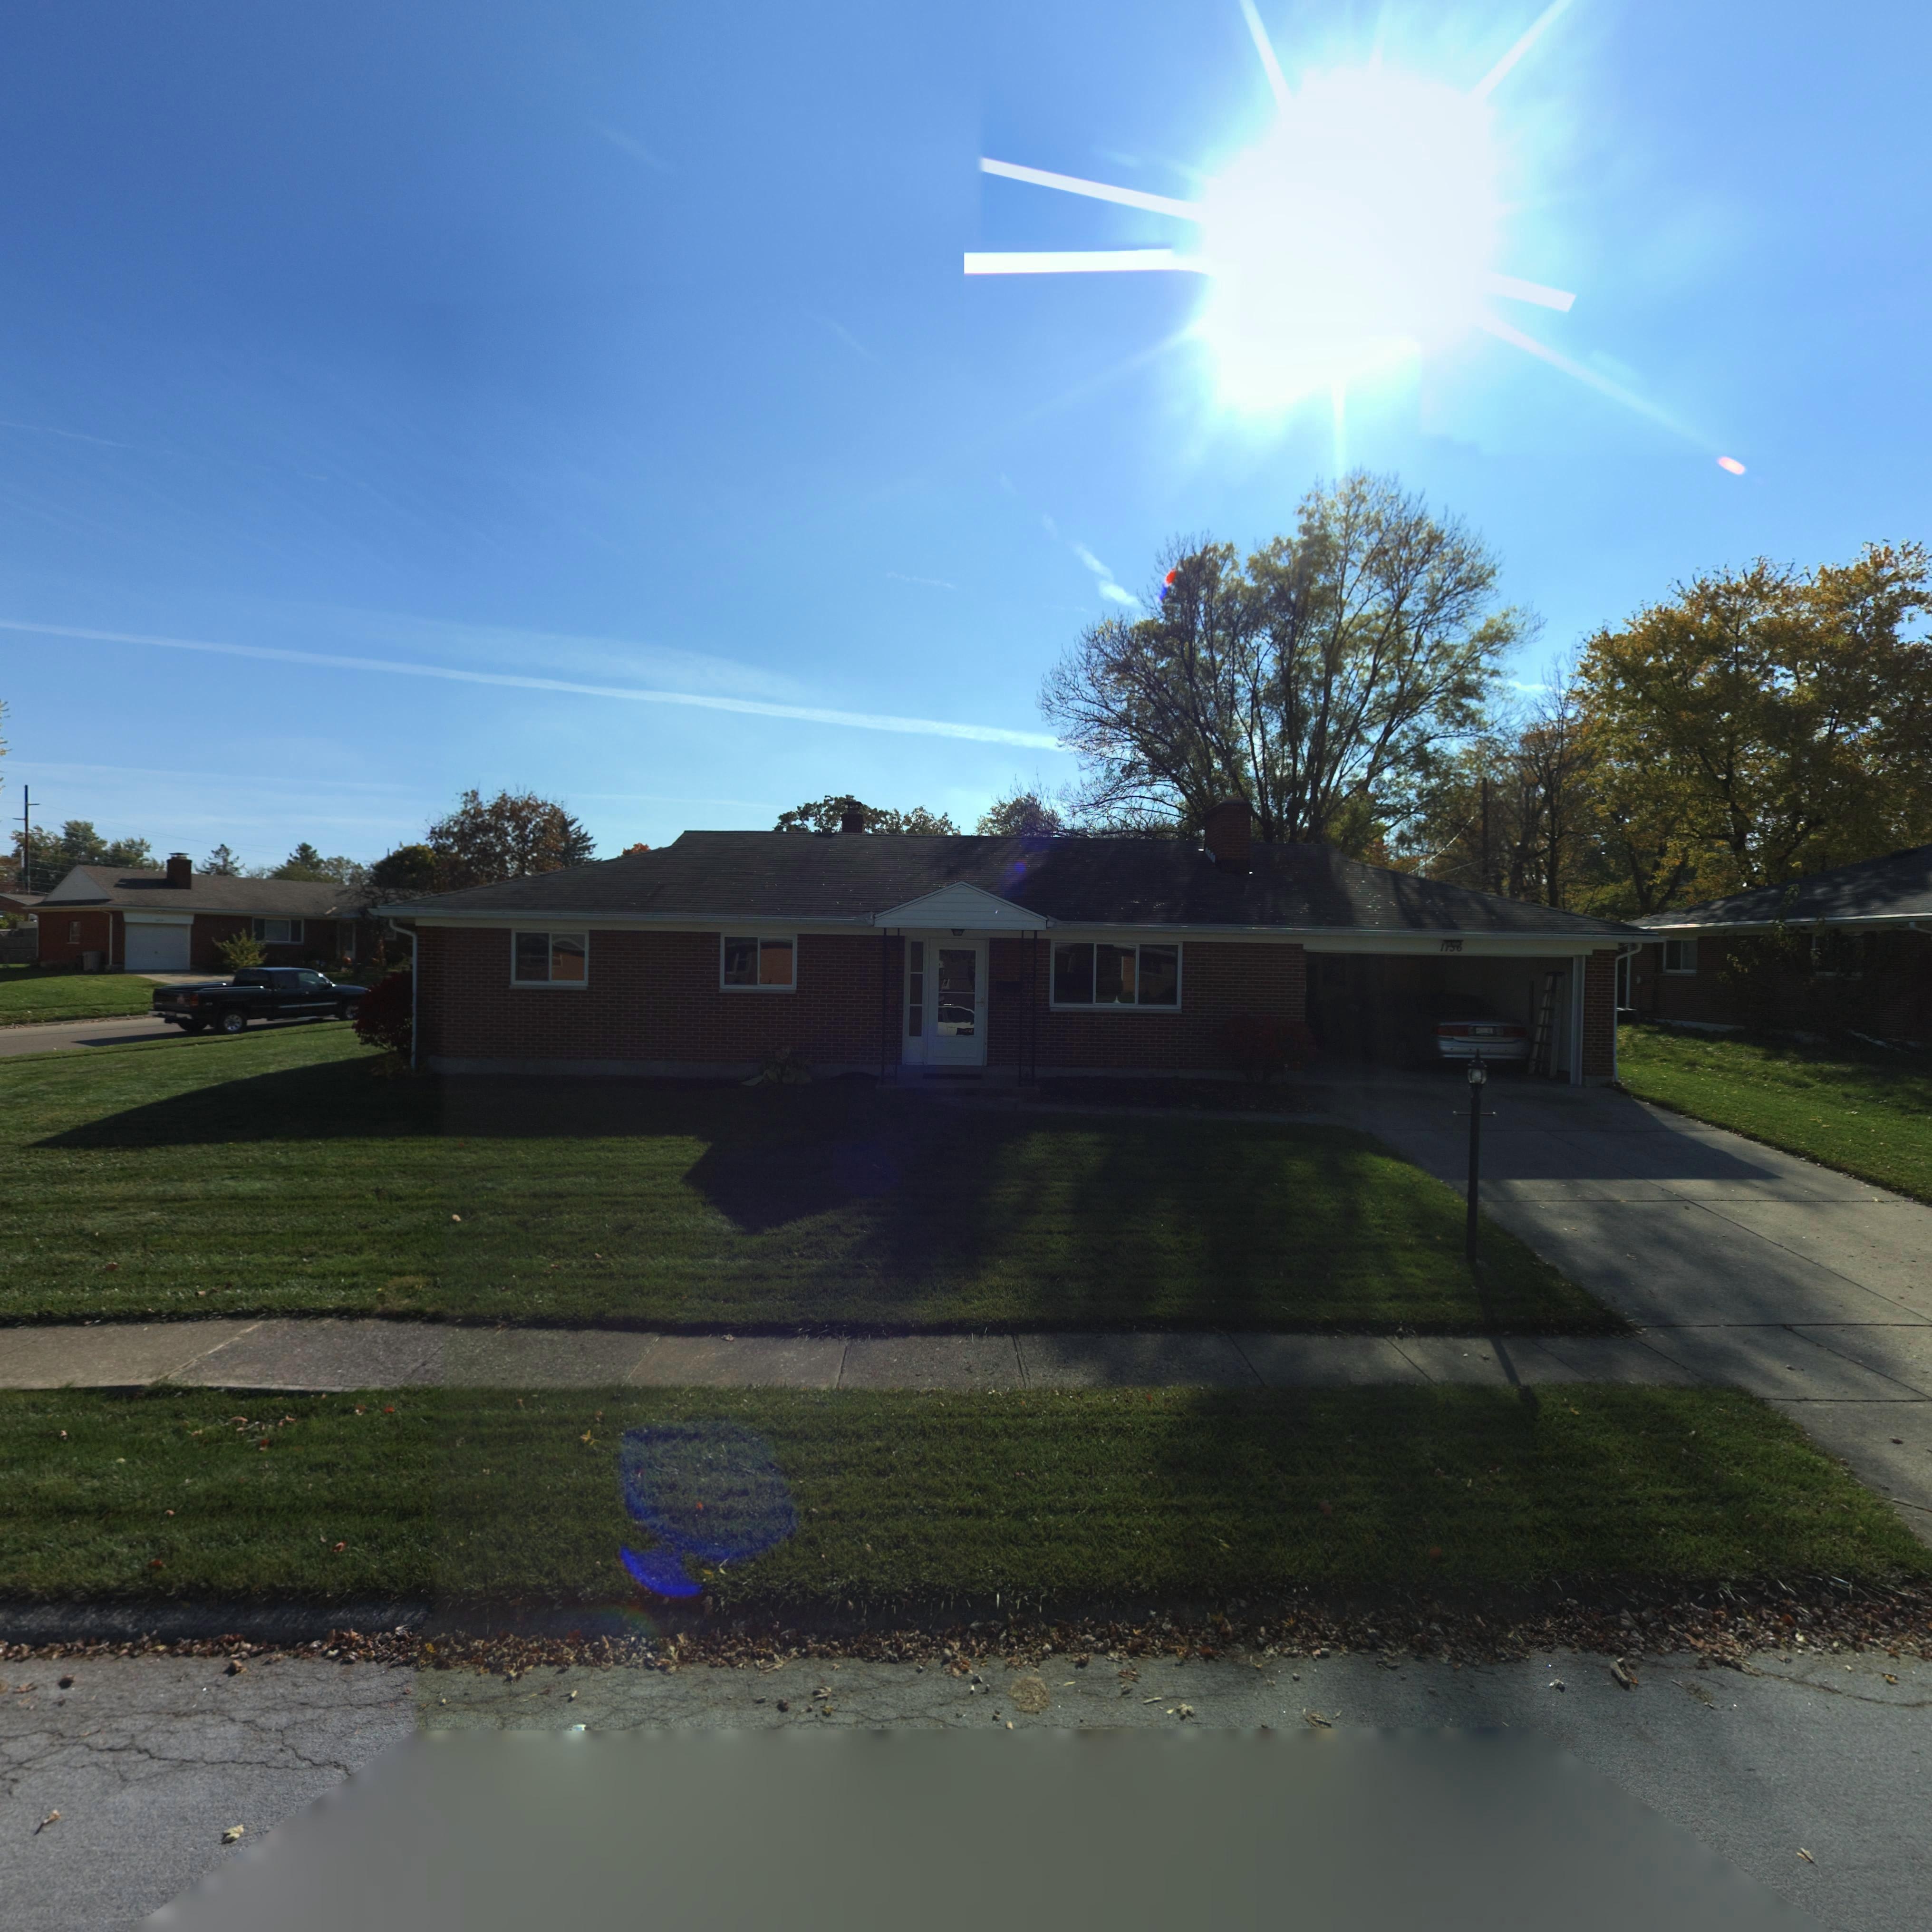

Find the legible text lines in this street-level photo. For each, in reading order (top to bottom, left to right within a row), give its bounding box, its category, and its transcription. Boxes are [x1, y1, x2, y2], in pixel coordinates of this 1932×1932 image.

[1439, 941, 1446, 953] StreetNumber: 1